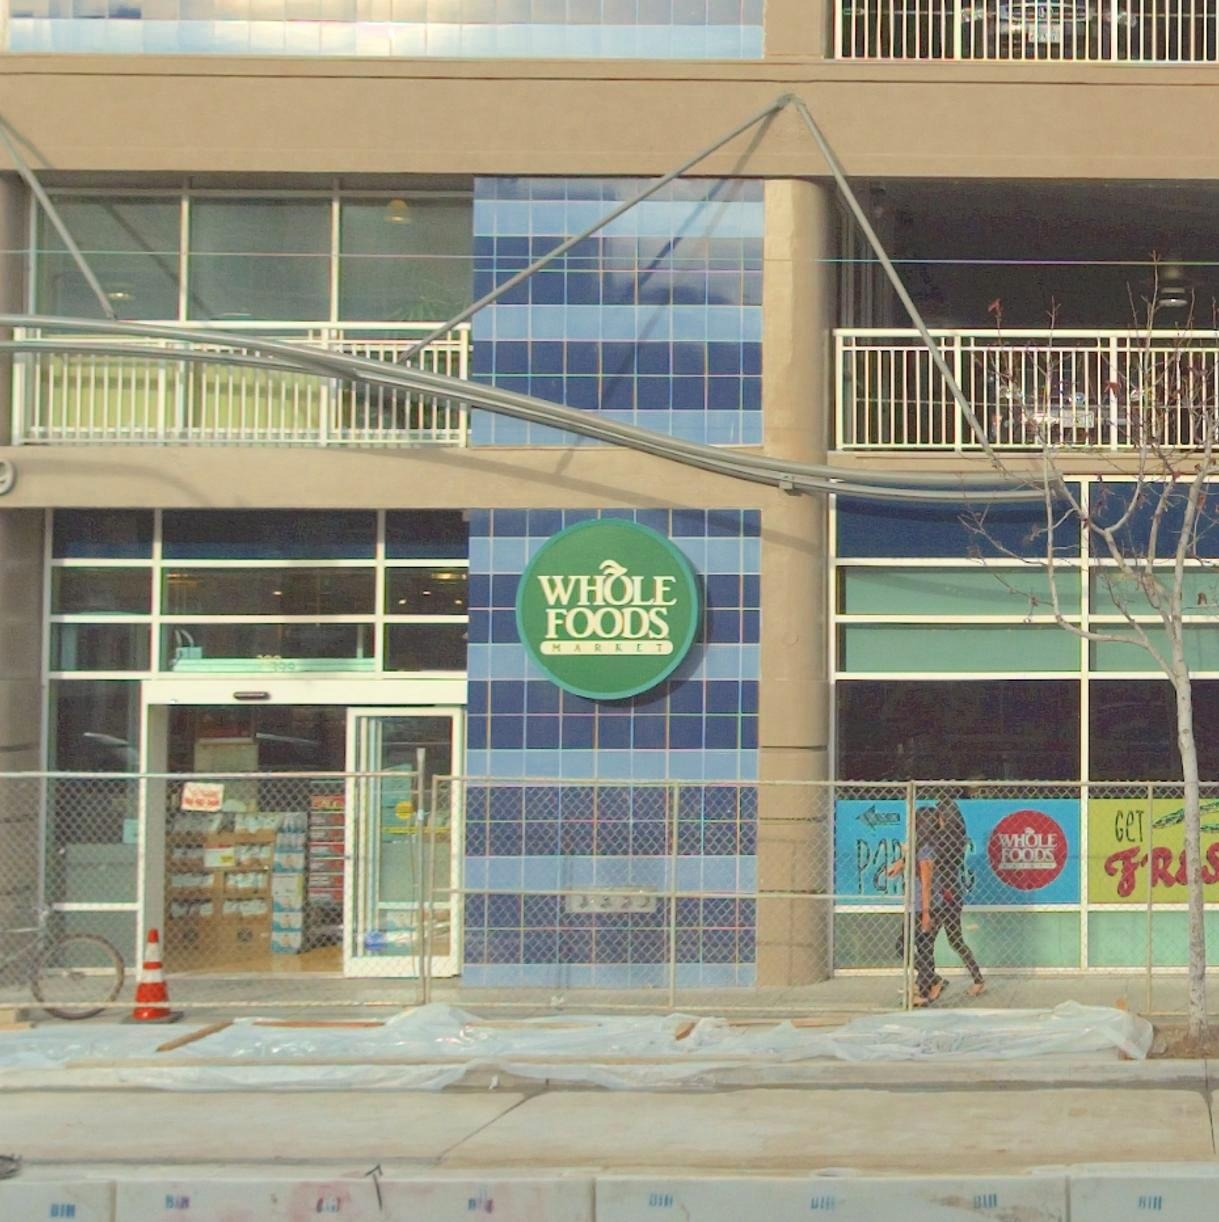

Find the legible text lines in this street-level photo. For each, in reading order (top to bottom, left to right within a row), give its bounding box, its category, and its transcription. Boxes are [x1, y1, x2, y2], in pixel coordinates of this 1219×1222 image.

[535, 573, 679, 608] BusinessName: WHOLE
[541, 605, 673, 641] BusinessName: FOODS
[252, 651, 285, 671] StreetNumber: 399
[548, 640, 666, 655] BusinessName: MARKET
[854, 836, 891, 898] None: Pa
[996, 832, 1059, 848] BusinessName: WHOLE
[999, 846, 1057, 864] BusinessName: FOODS
[1112, 807, 1147, 845] None: GeT
[1101, 842, 1182, 902] None: FR